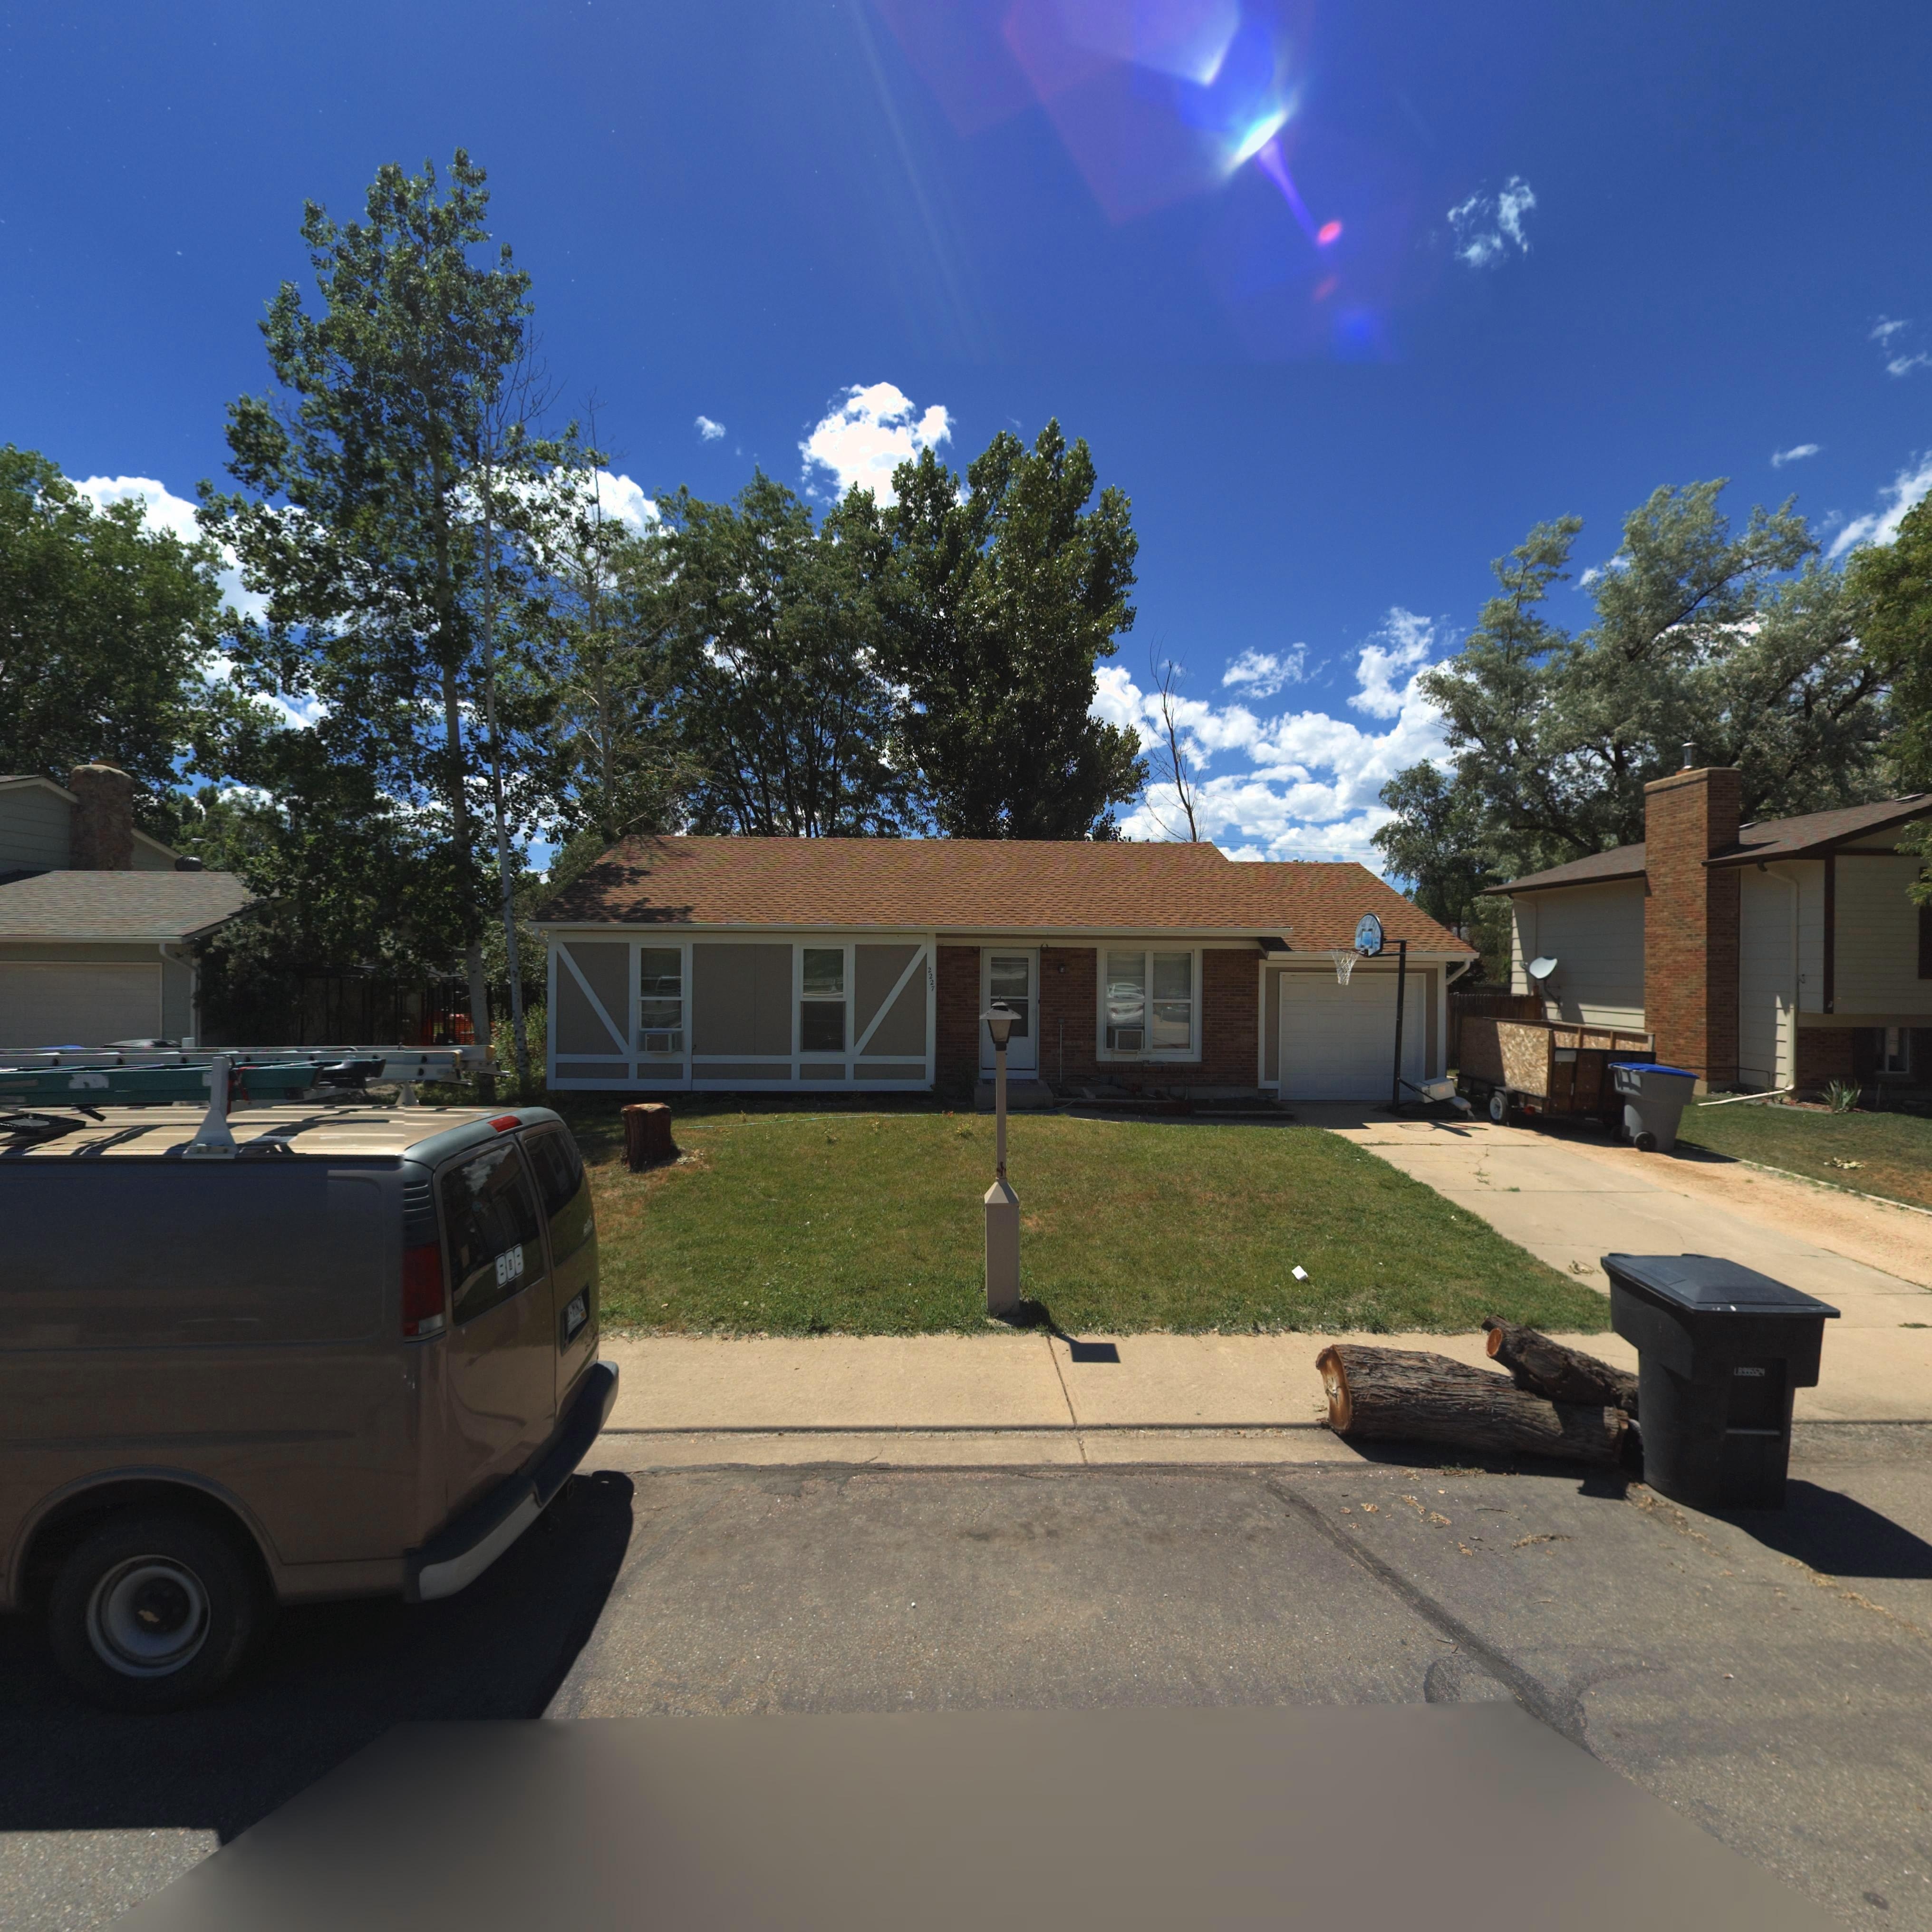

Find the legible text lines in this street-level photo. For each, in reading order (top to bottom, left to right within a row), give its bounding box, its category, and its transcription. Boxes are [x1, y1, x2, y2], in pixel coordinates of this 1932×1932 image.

[927, 966, 935, 992] StreetNumber: 2227